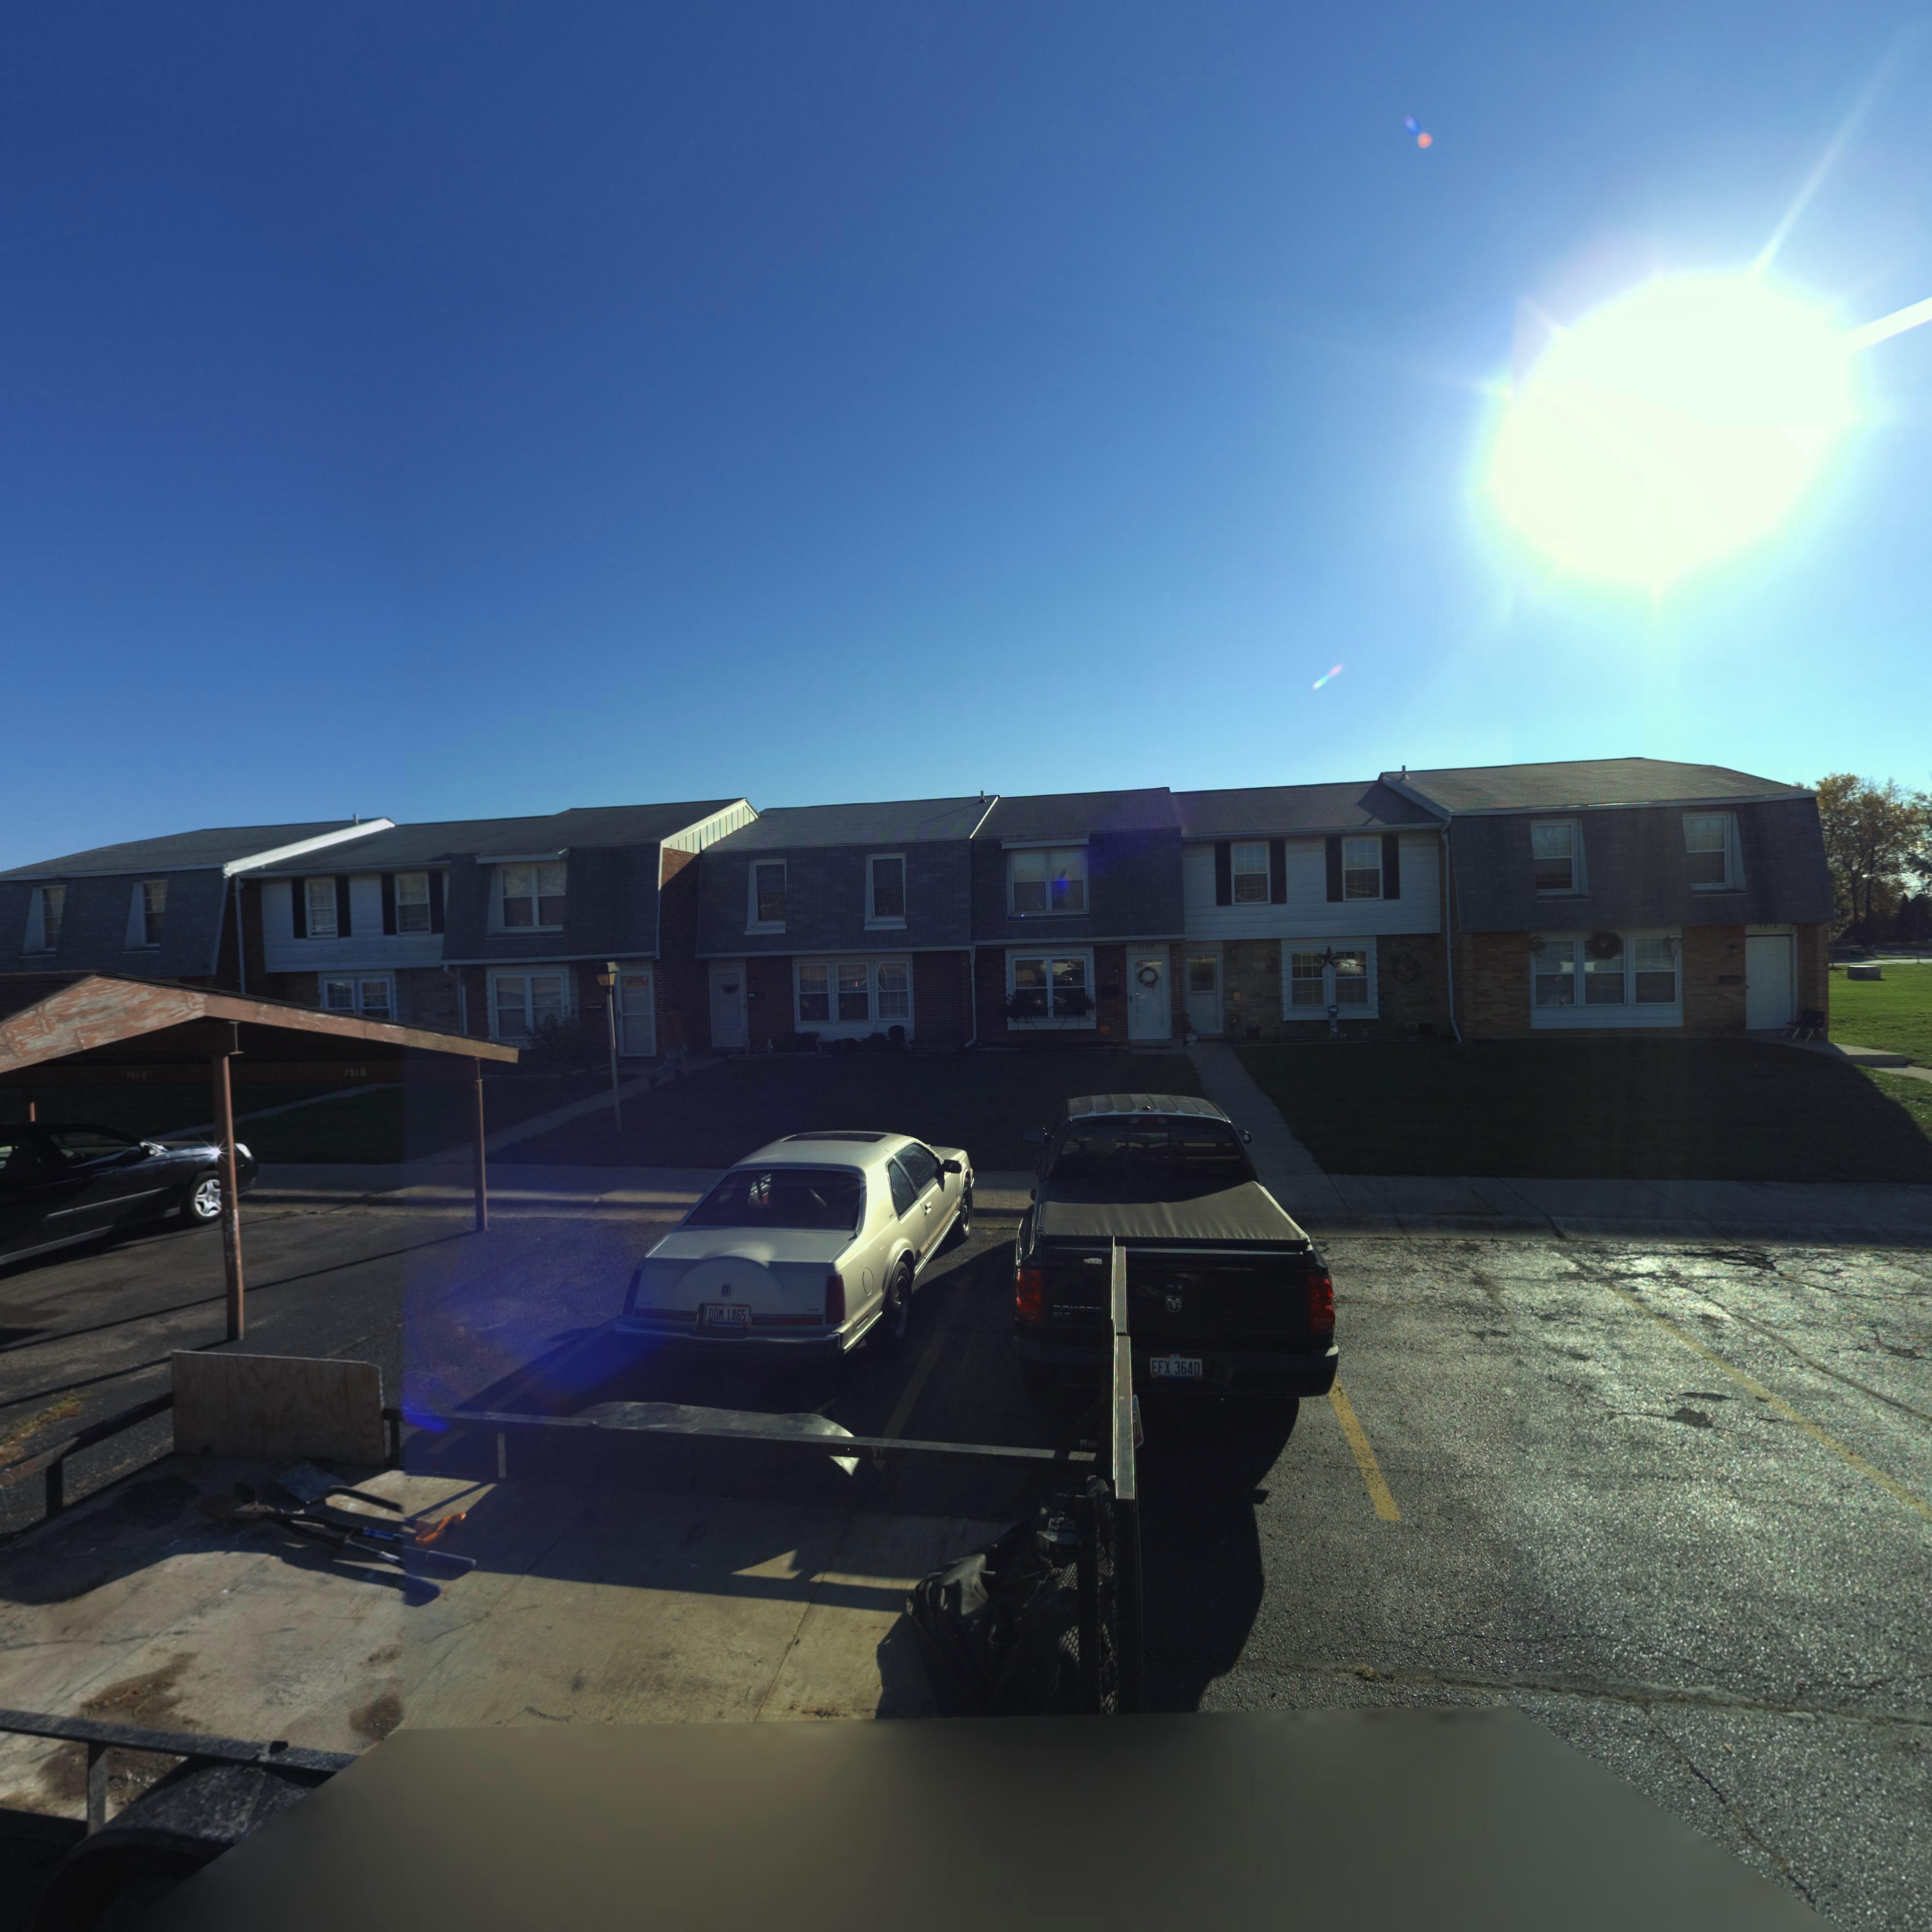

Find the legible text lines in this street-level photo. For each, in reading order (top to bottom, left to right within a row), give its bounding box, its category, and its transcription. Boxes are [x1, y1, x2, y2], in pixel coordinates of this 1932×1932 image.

[1758, 923, 1778, 929] StreetNumber: 7516
[1137, 944, 1154, 949] StreetNumber: 7520
[1193, 941, 1207, 947] StreetNumber: 7518
[719, 957, 735, 964] StreetNumber: 7522
[626, 962, 643, 968] StreetNumber: 7524
[342, 1067, 367, 1078] StreetNumber: 7516